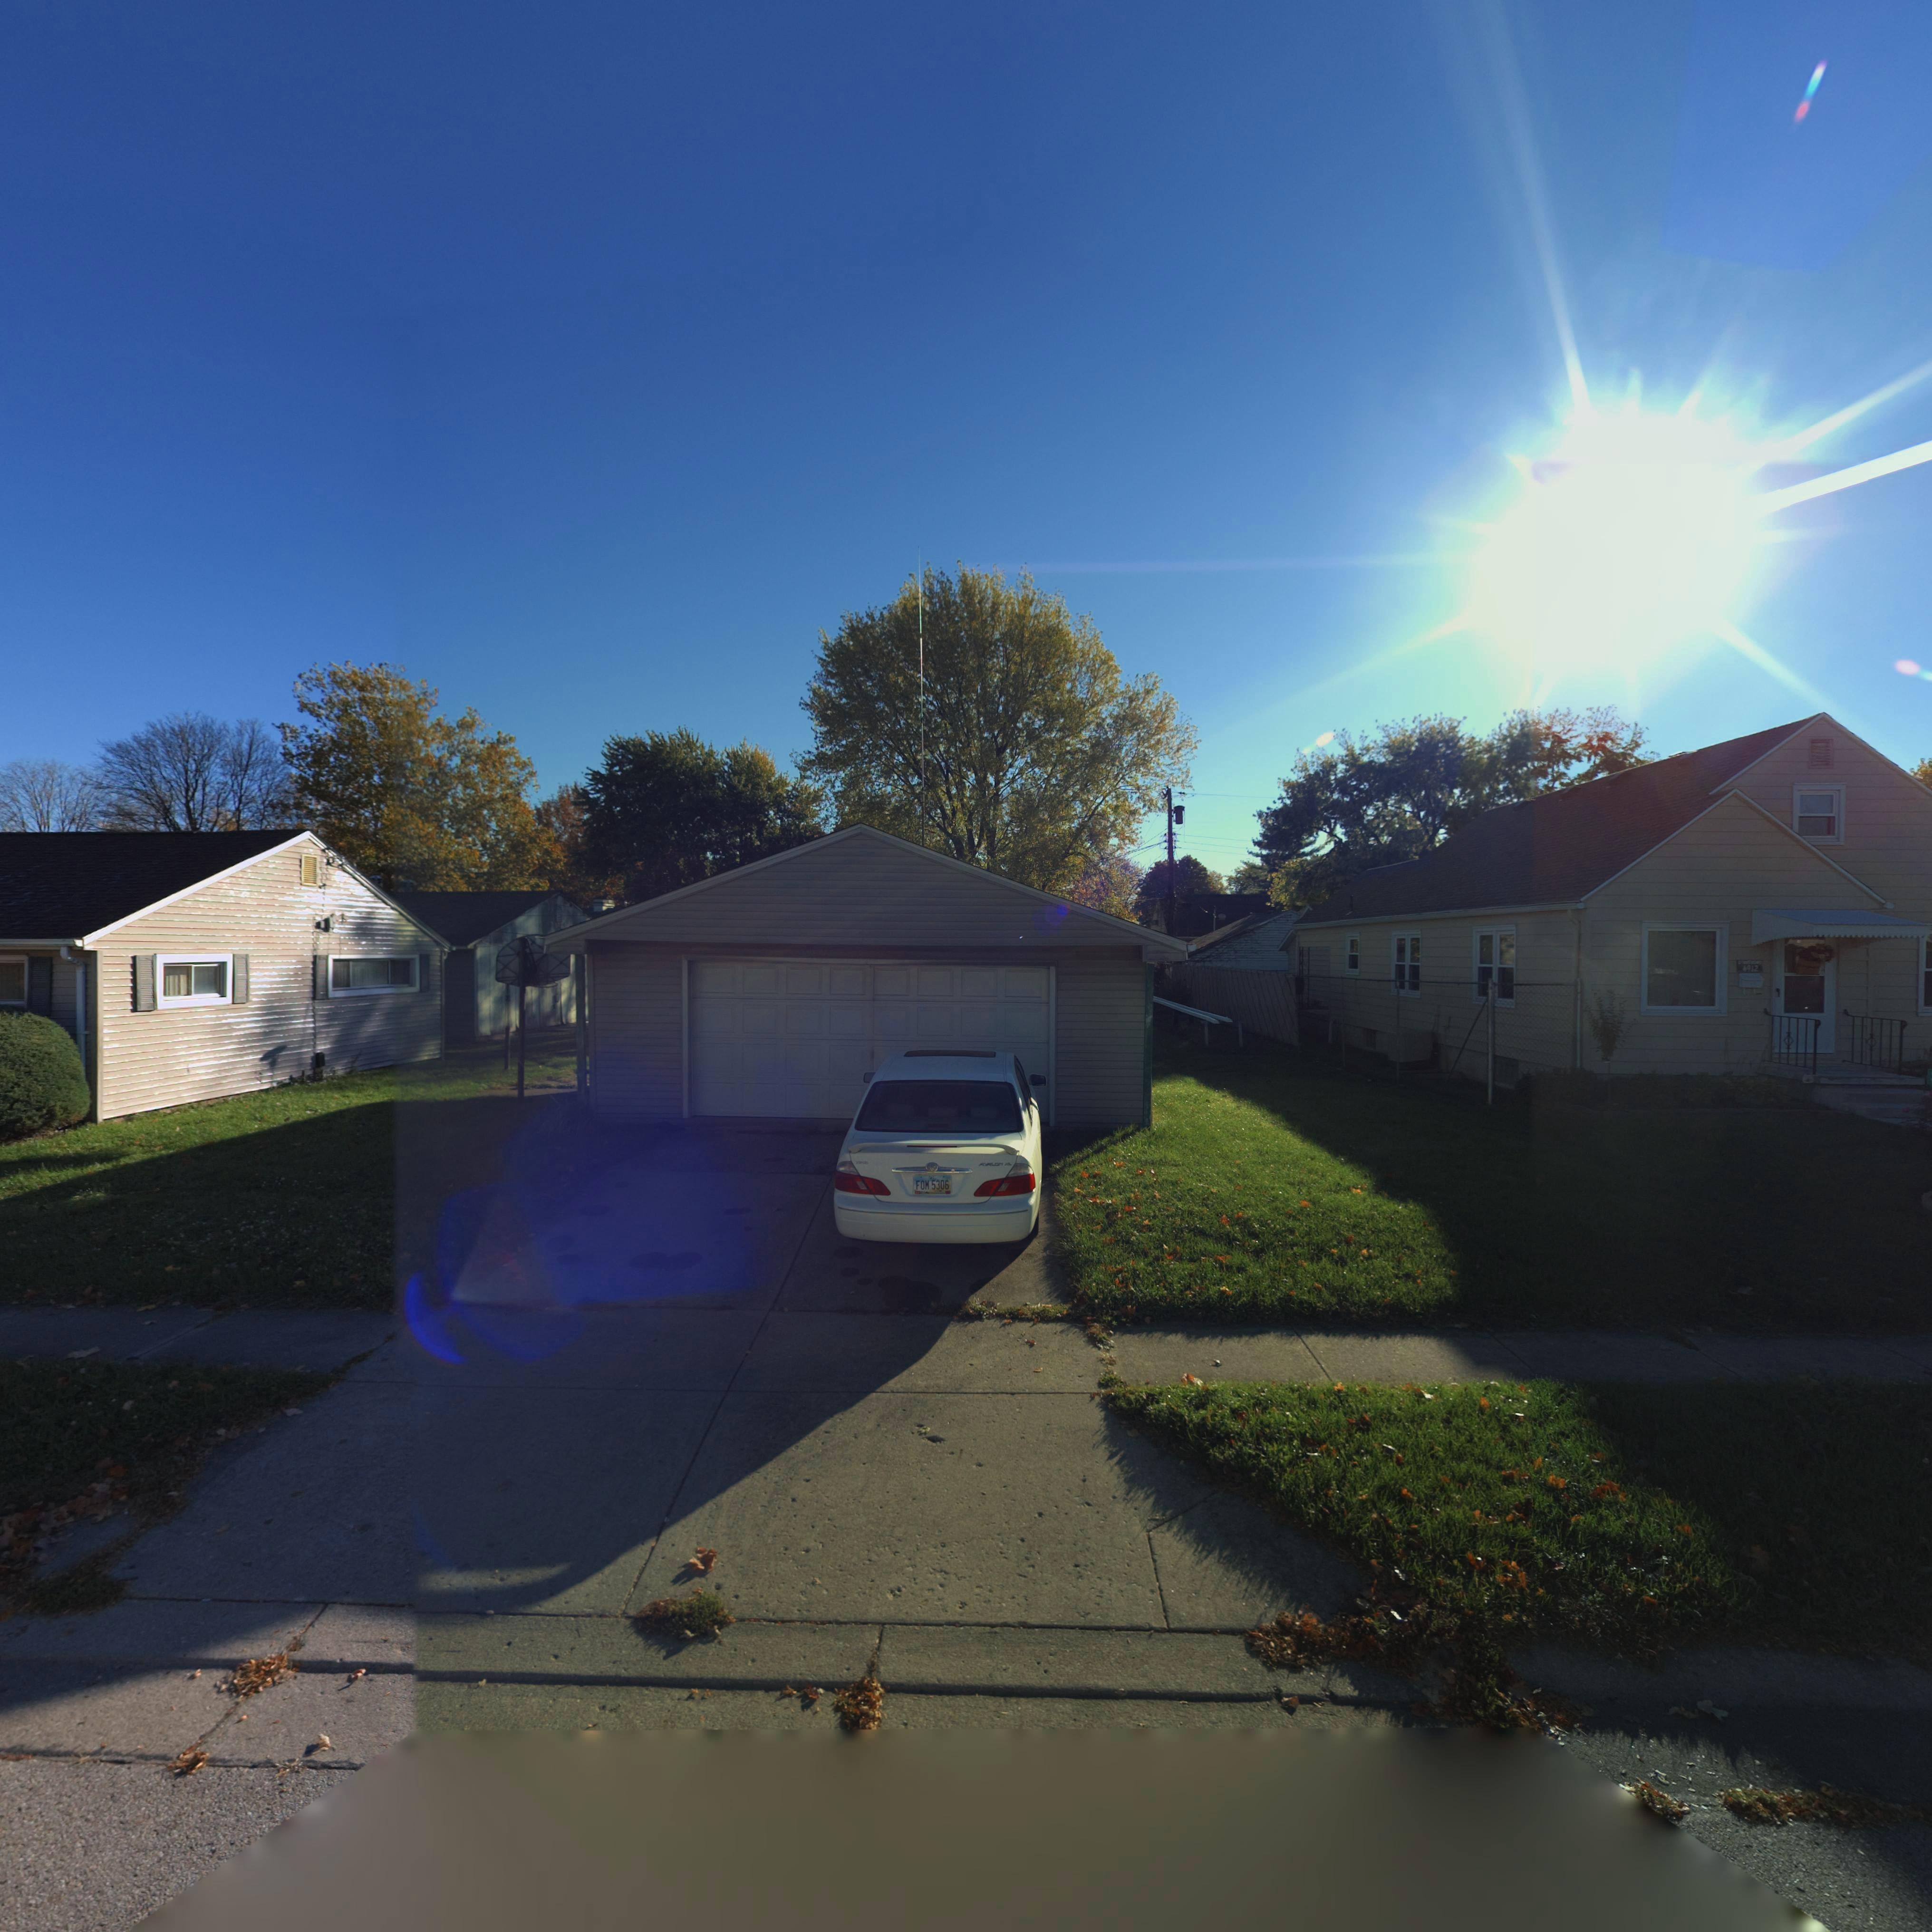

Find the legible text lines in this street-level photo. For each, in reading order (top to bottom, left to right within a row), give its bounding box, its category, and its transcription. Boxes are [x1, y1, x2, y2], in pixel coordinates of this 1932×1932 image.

[1741, 964, 1759, 973] StreetNumber: 4912